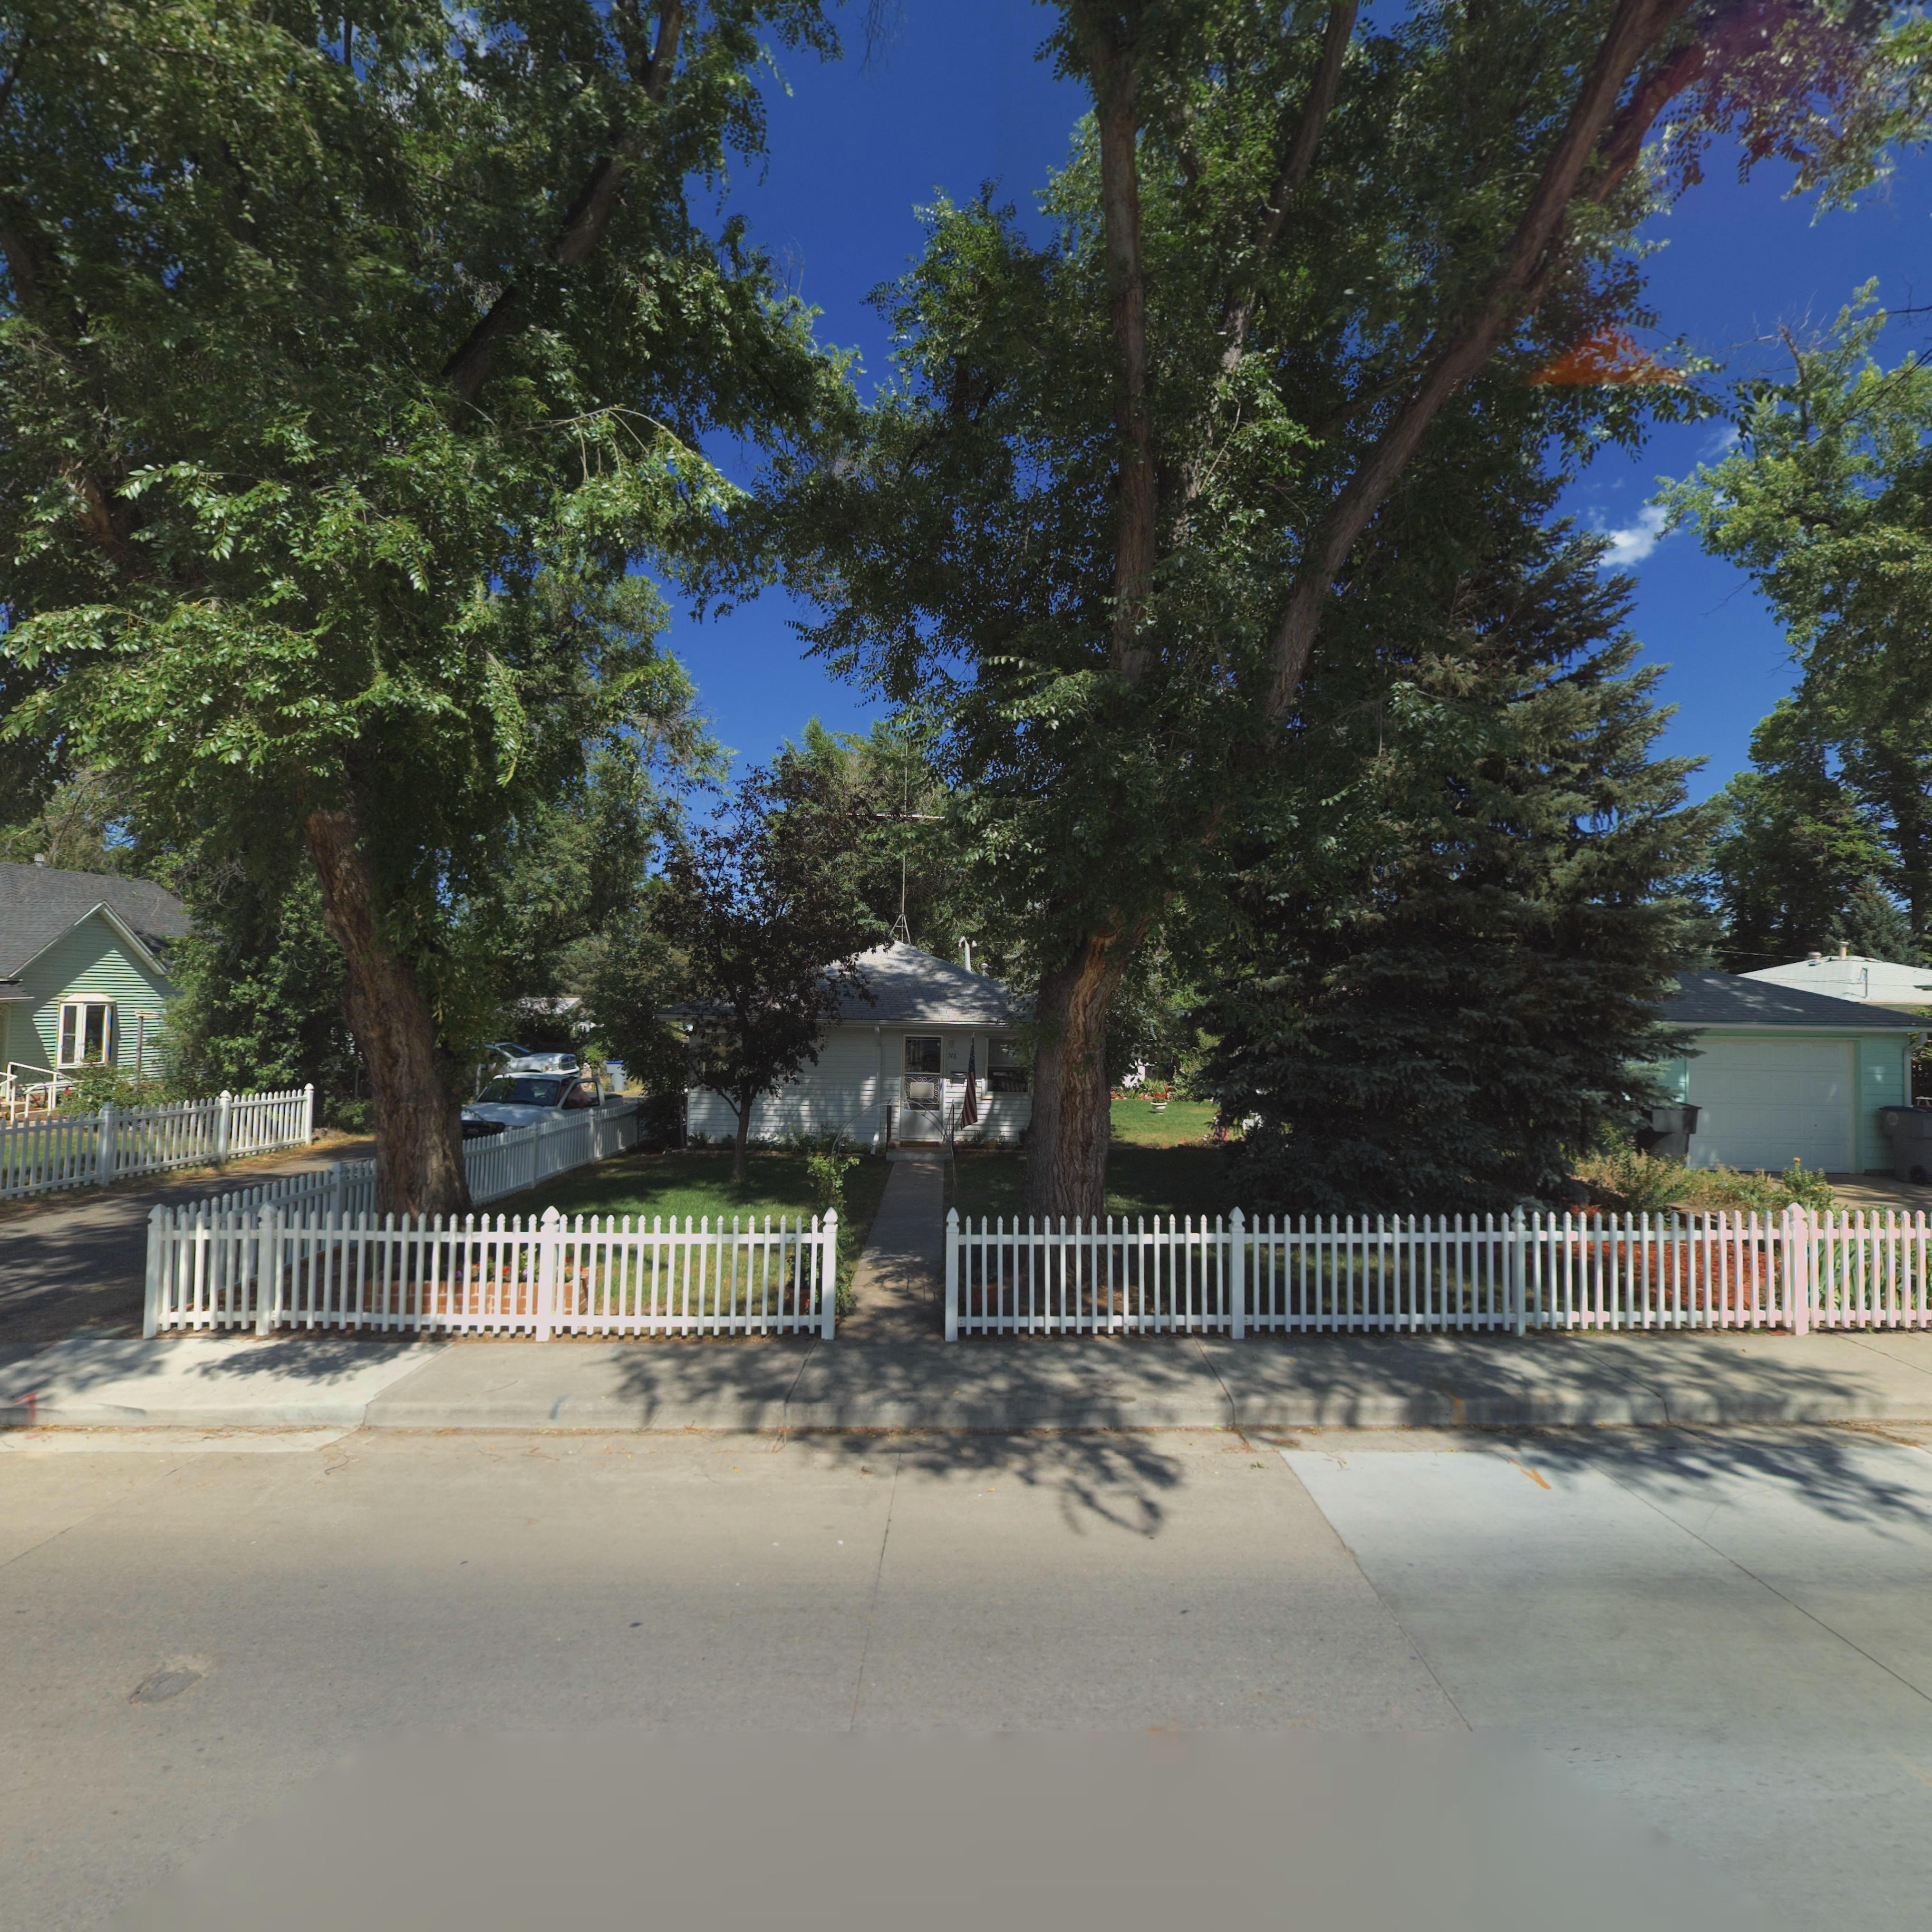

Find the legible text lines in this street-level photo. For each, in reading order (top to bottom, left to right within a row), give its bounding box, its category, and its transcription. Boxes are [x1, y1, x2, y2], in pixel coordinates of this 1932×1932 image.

[947, 1053, 957, 1059] StreetNumber: 748